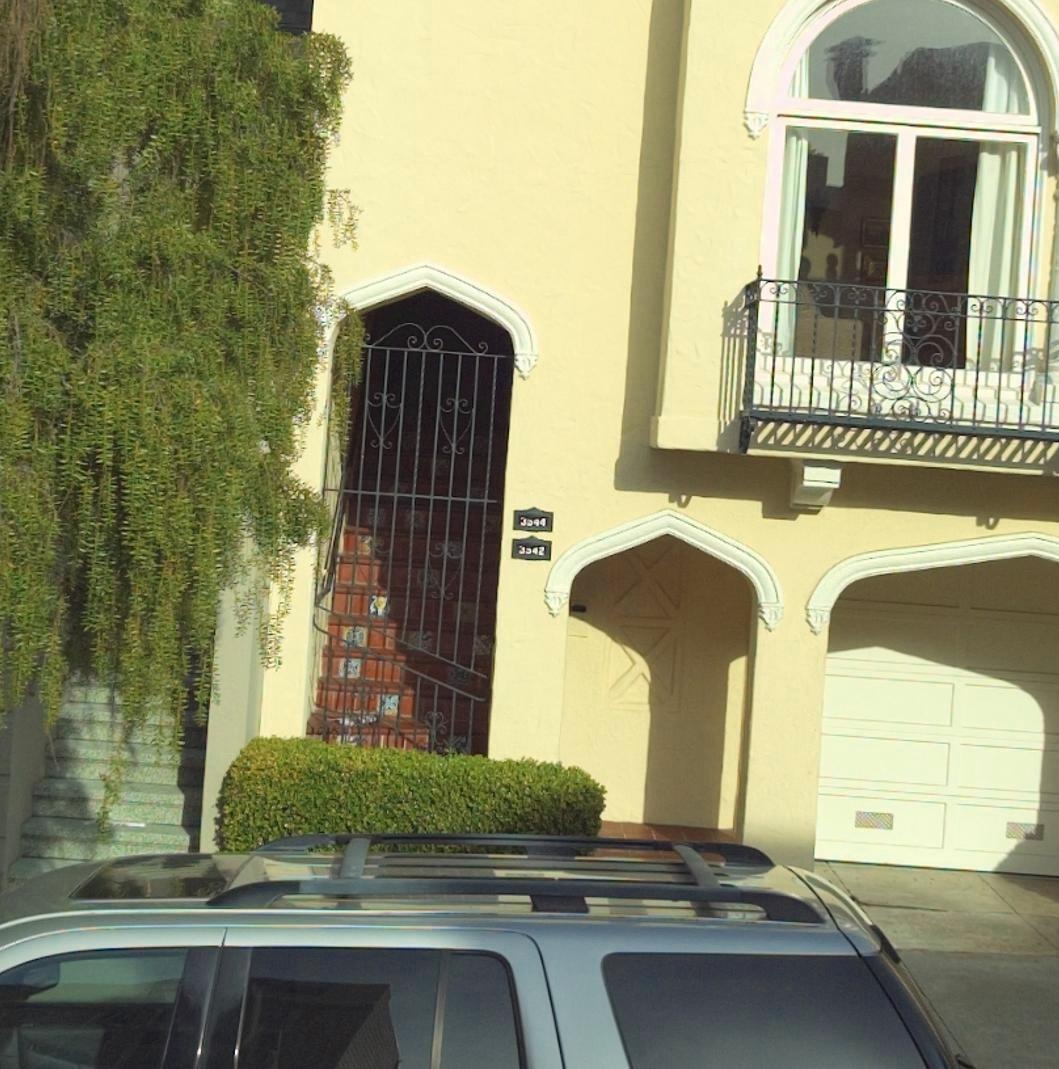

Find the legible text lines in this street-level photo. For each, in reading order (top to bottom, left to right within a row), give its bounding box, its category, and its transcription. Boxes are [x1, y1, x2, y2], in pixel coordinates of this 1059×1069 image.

[518, 514, 548, 529] StreetNumber: 3544
[515, 543, 547, 558] StreetNumber: 3*42